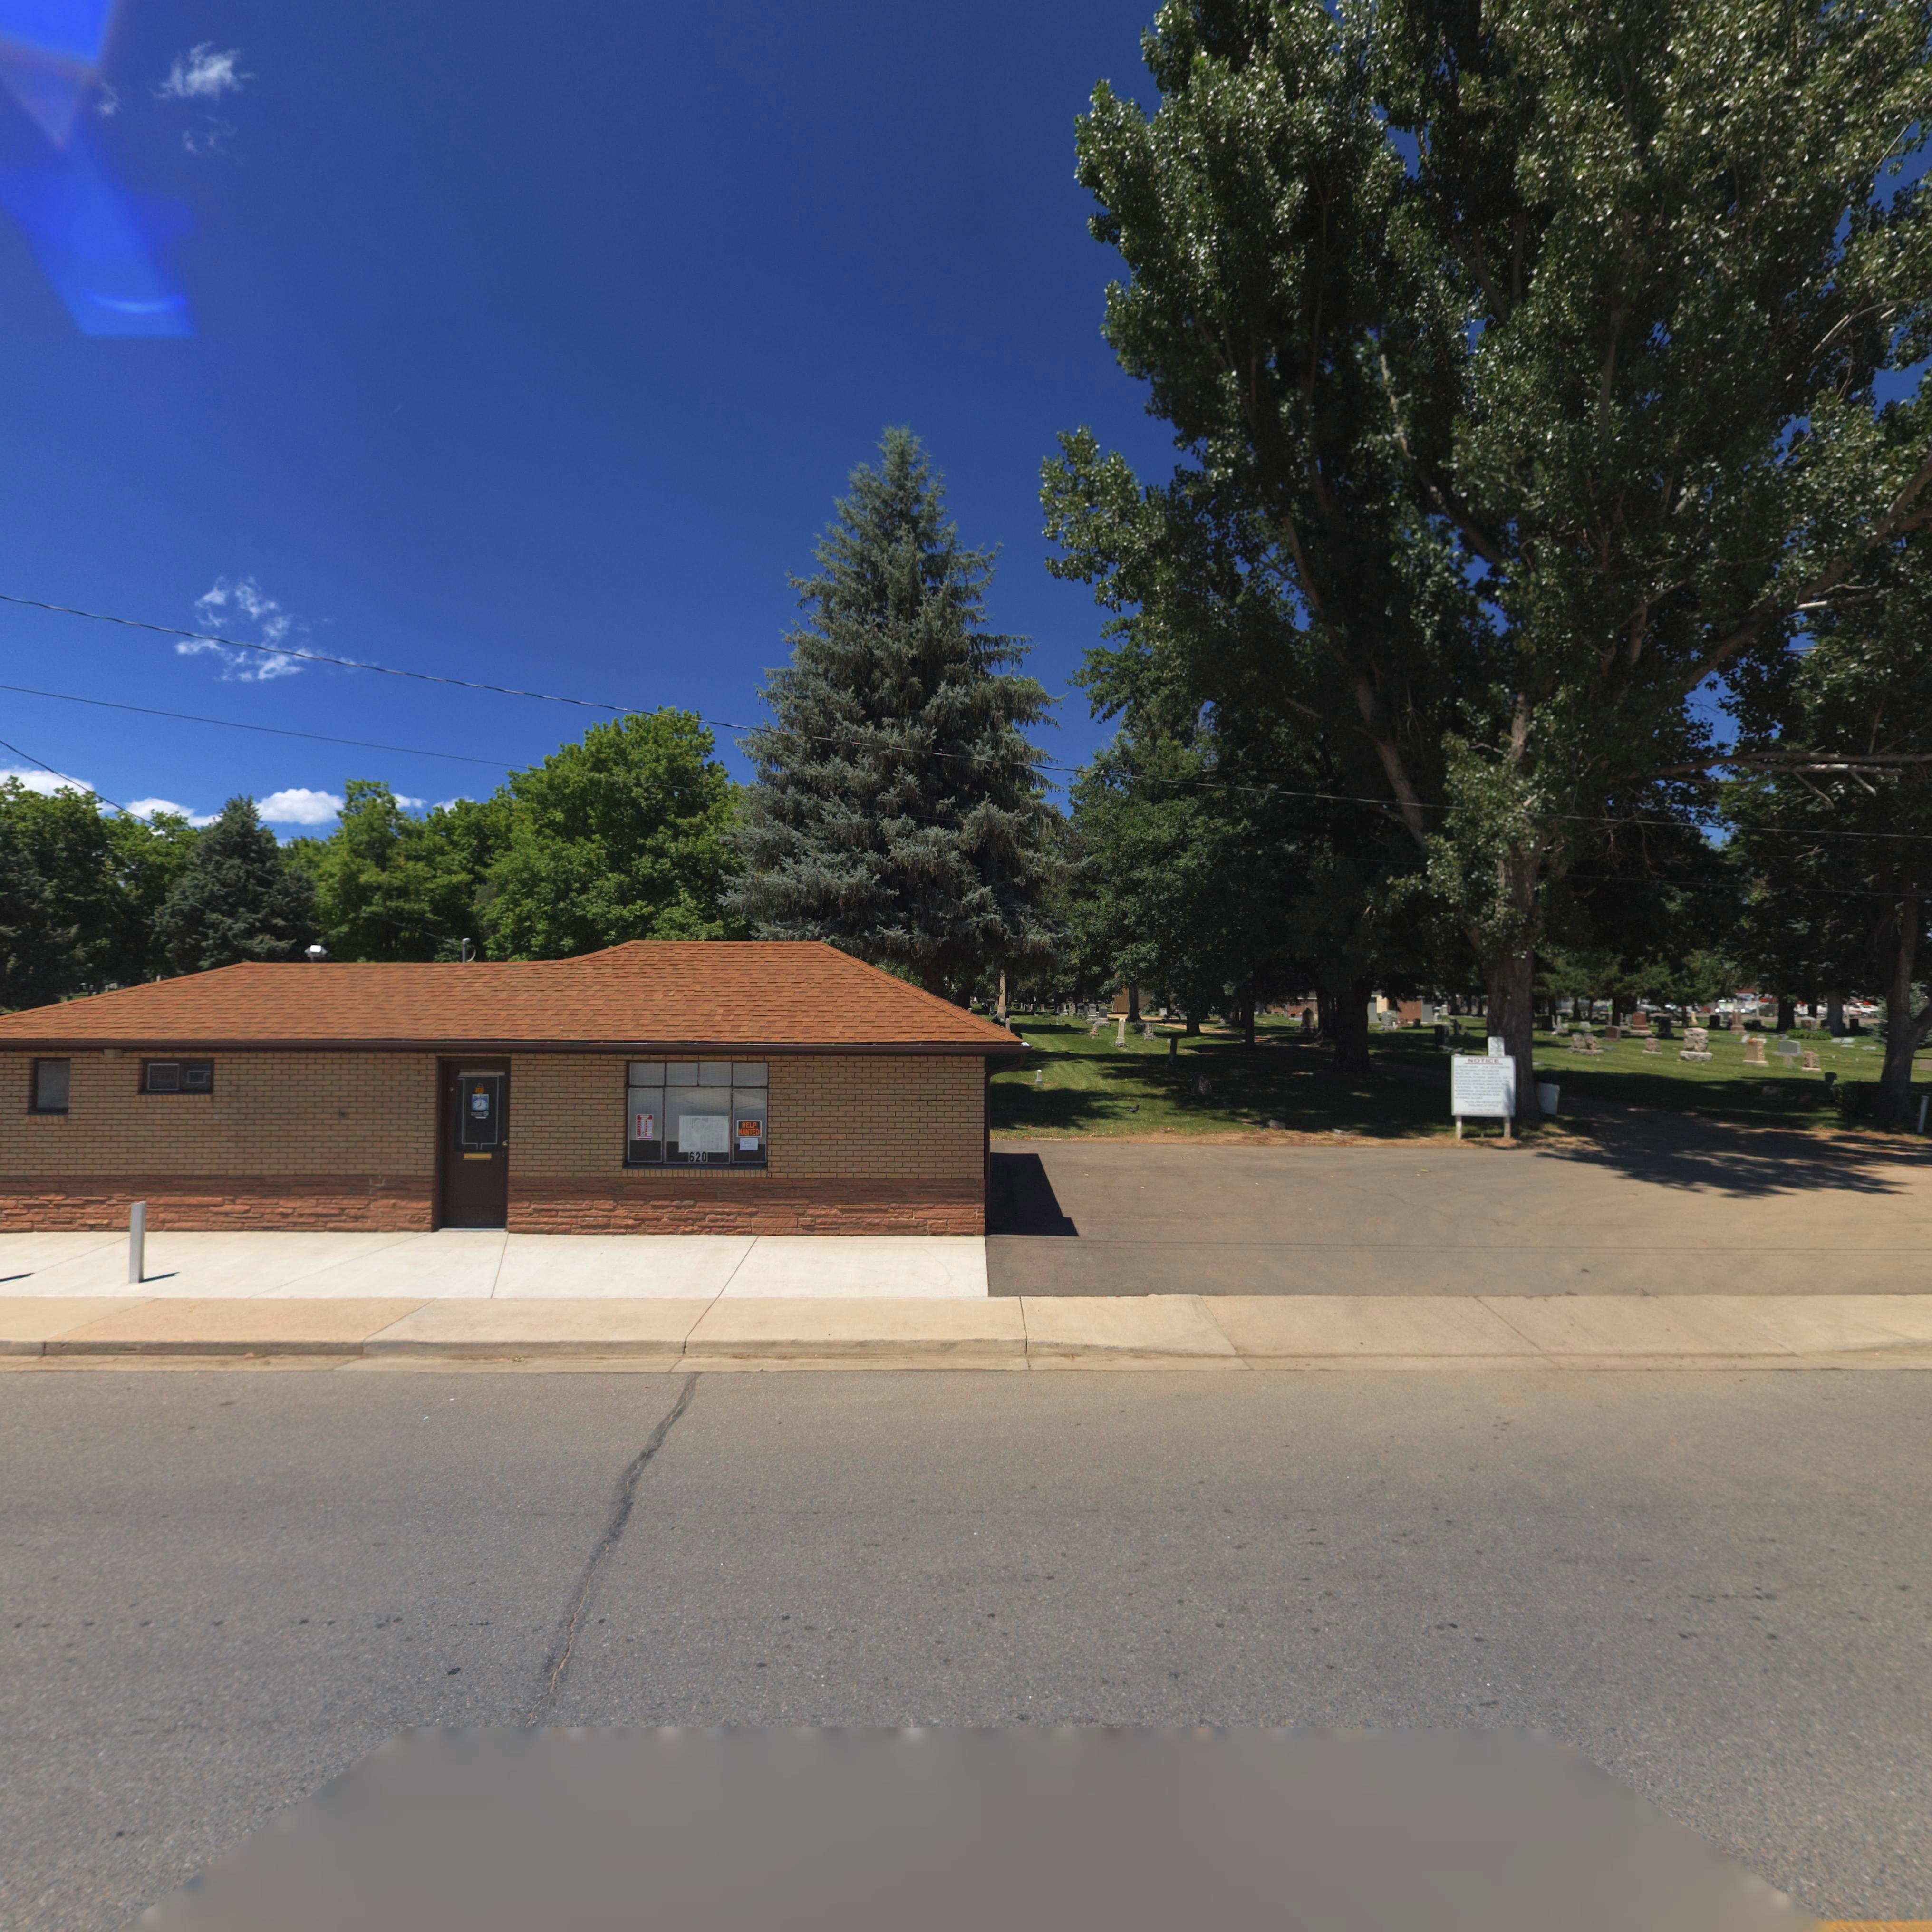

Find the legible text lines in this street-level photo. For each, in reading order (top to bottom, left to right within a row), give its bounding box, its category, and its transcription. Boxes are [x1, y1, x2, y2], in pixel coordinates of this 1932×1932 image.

[689, 1151, 706, 1162] StreetNumber: 620